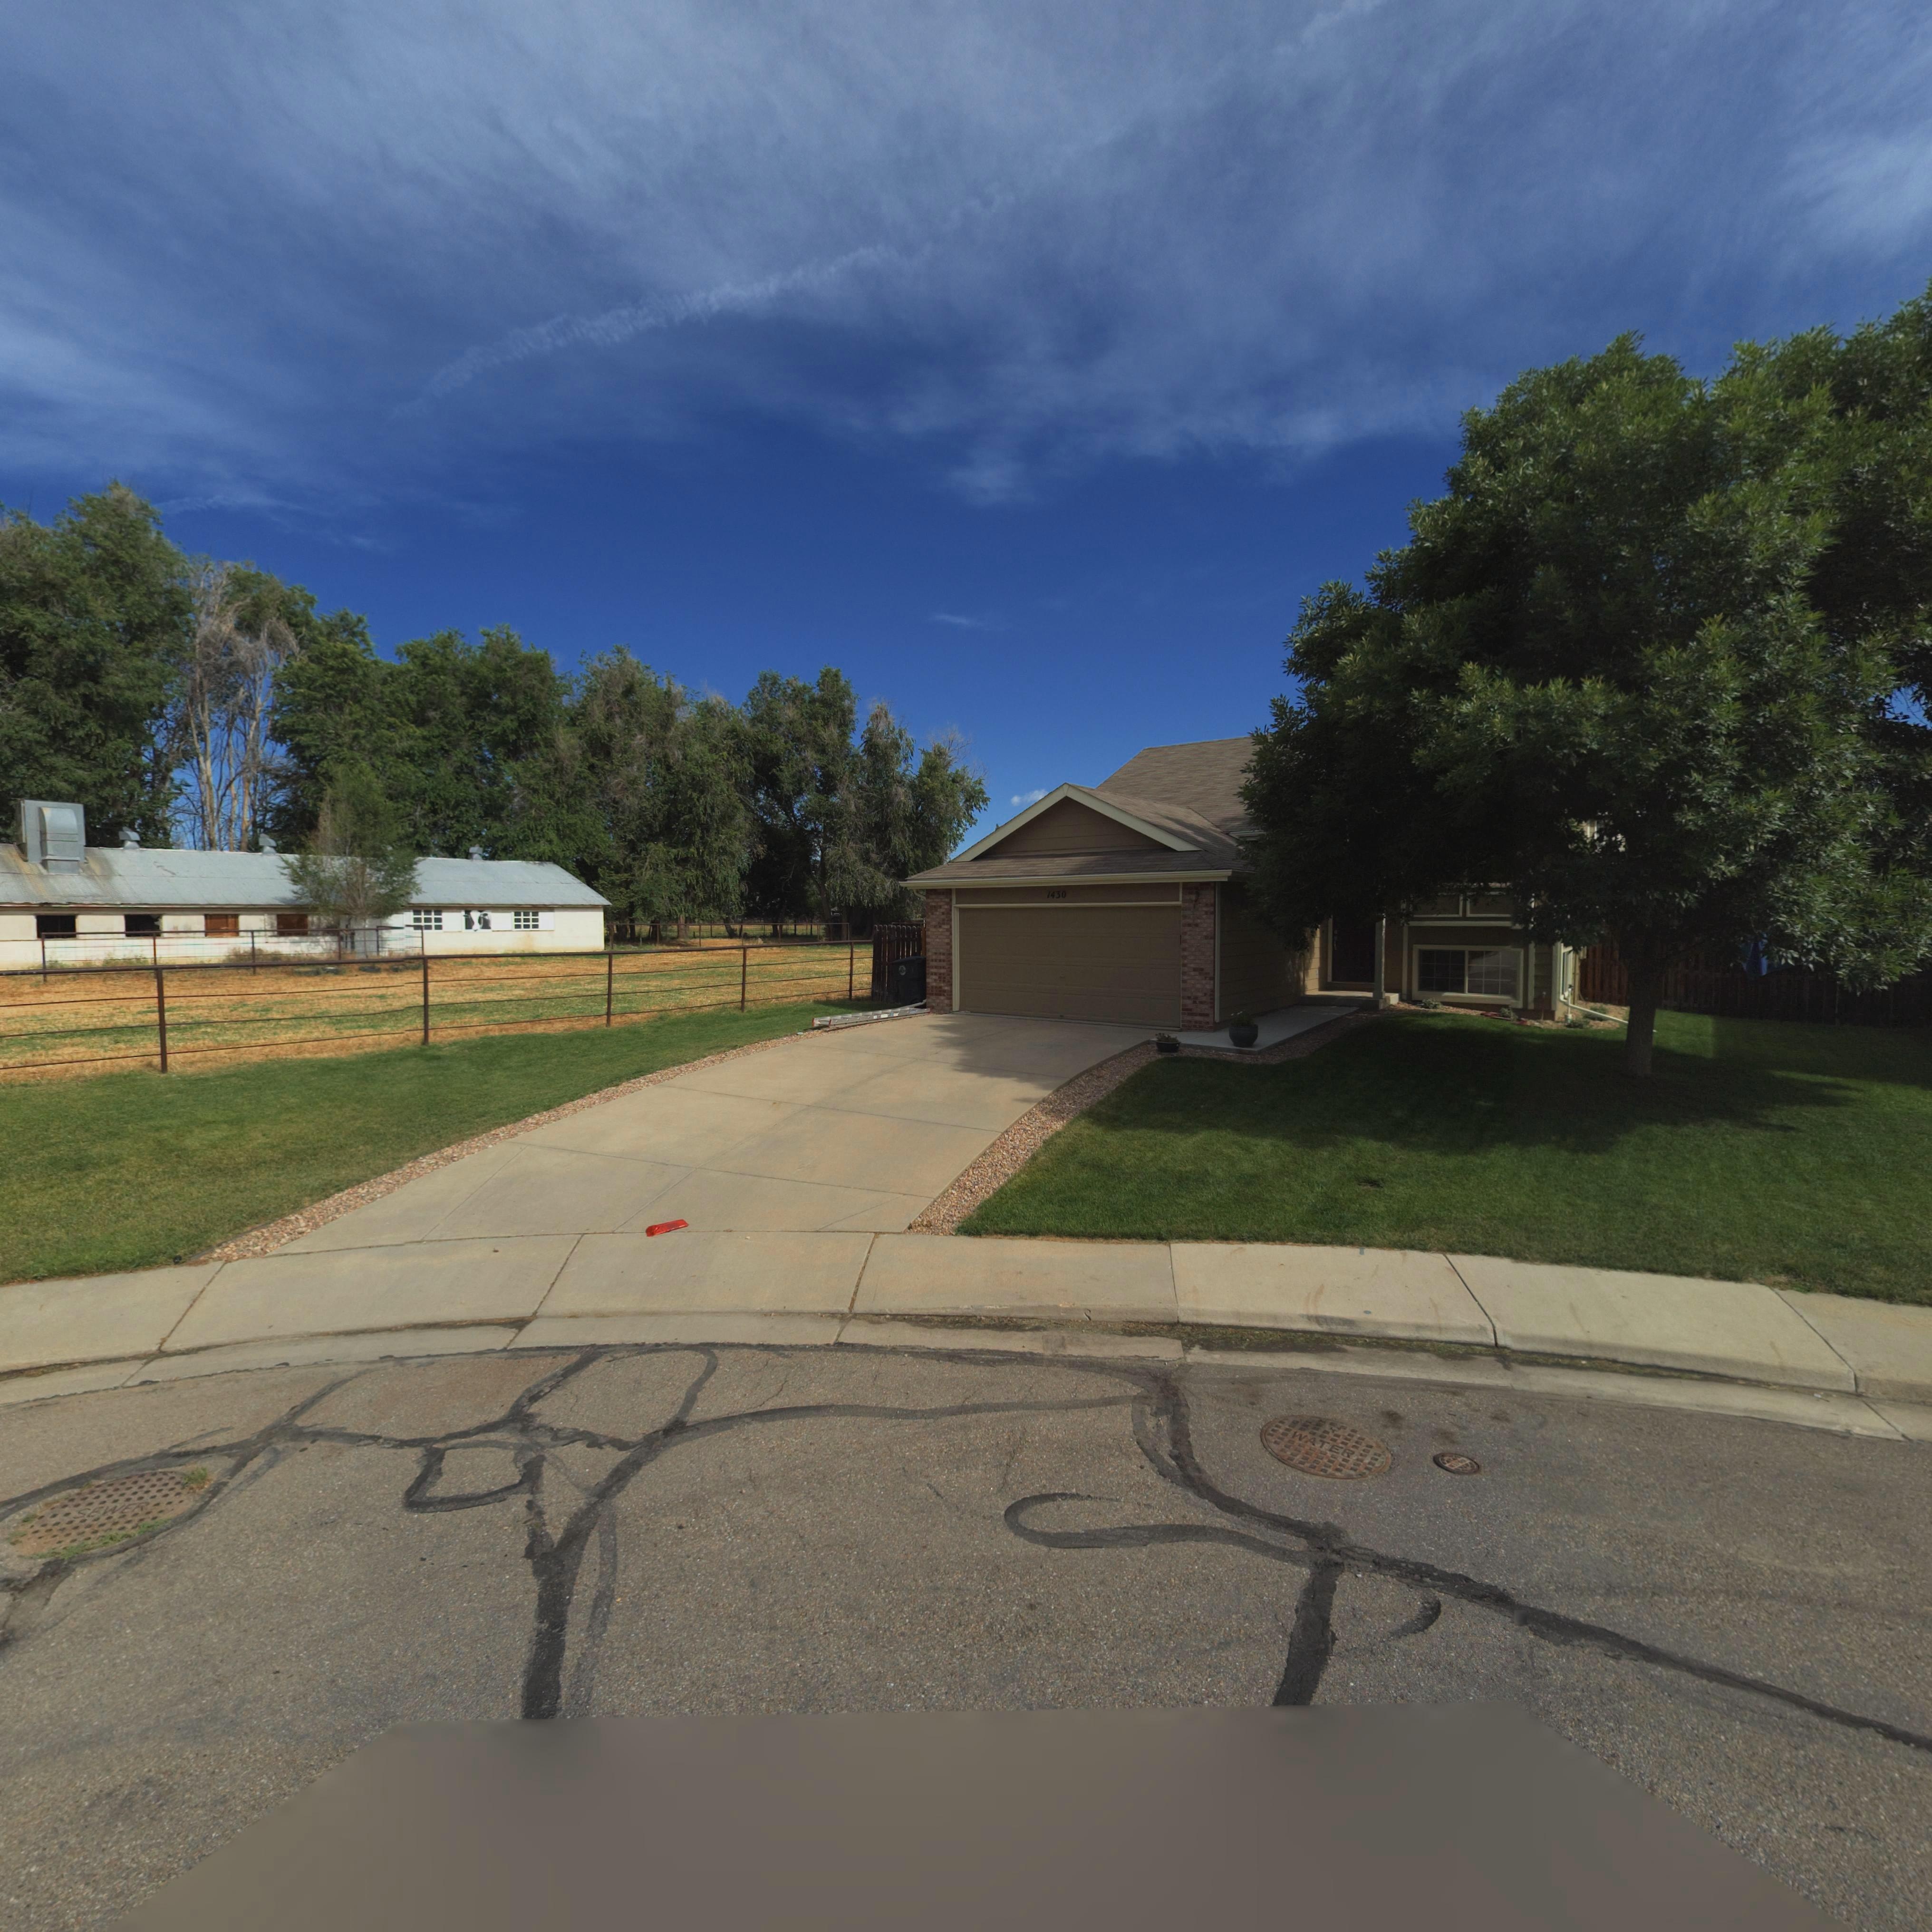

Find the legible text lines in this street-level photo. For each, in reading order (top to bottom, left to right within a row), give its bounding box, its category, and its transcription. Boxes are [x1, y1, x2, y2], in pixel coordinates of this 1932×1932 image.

[1046, 890, 1066, 898] StreetNumber: 1430